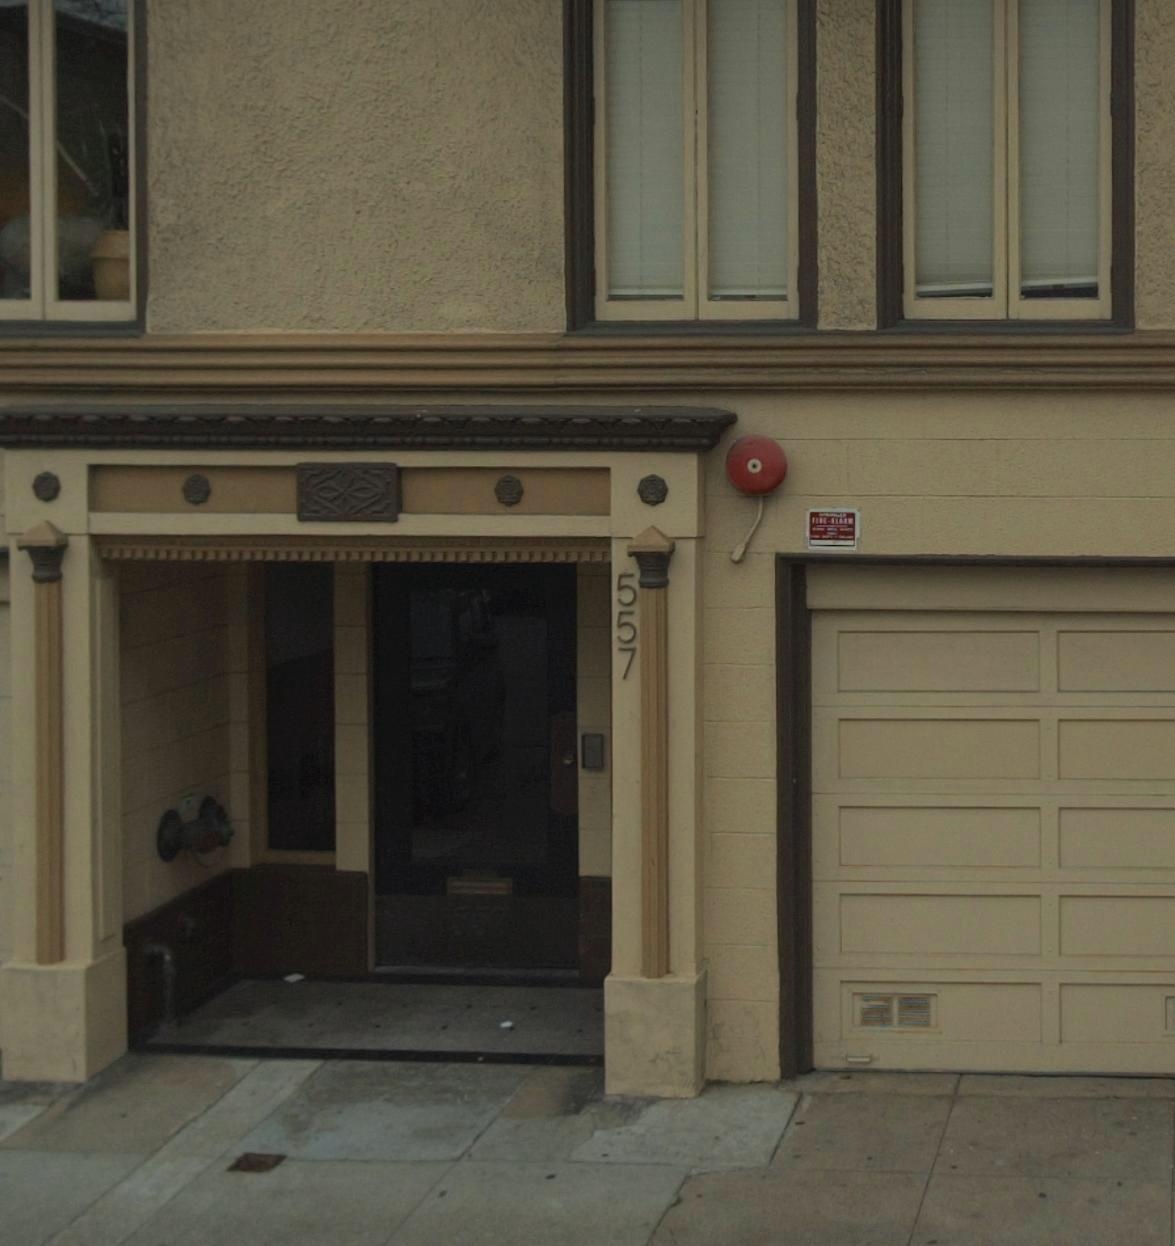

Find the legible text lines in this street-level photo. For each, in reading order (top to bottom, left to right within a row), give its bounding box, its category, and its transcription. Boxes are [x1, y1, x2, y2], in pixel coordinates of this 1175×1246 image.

[616, 572, 638, 681] StreetNumber: 557